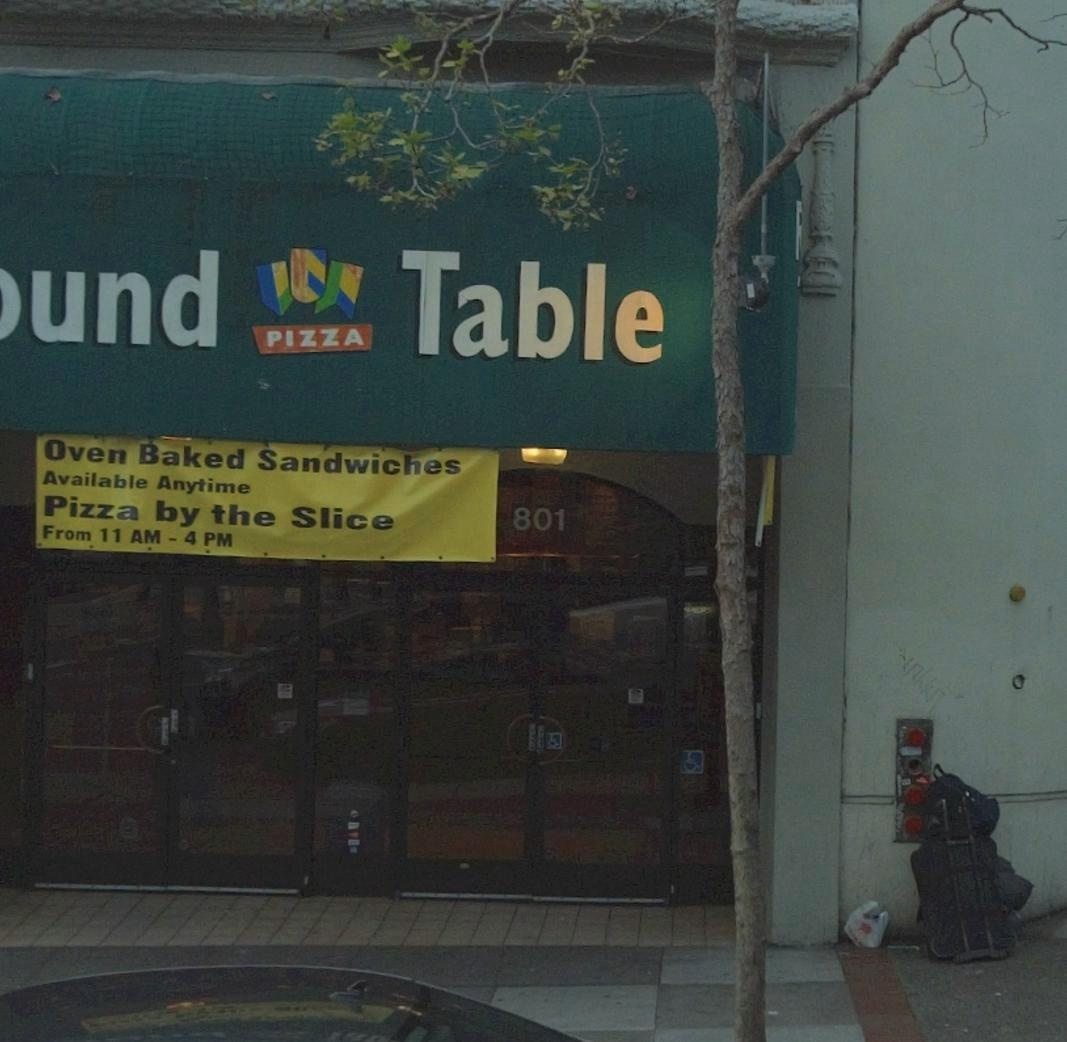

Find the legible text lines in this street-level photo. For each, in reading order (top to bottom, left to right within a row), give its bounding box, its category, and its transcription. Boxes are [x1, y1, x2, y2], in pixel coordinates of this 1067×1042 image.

[21, 243, 226, 358] BusinessName: und
[394, 239, 669, 370] BusinessName: Table
[264, 325, 369, 350] BusinessName: PIZZA
[41, 435, 465, 478] None: Oven Baked Sandwiches
[38, 466, 255, 497] None: Available Anytime
[39, 521, 236, 550] None: From 11 AM - 4 PM
[41, 492, 397, 534] None: Pizza By the Slice
[510, 505, 567, 533] StreetNumber: 801